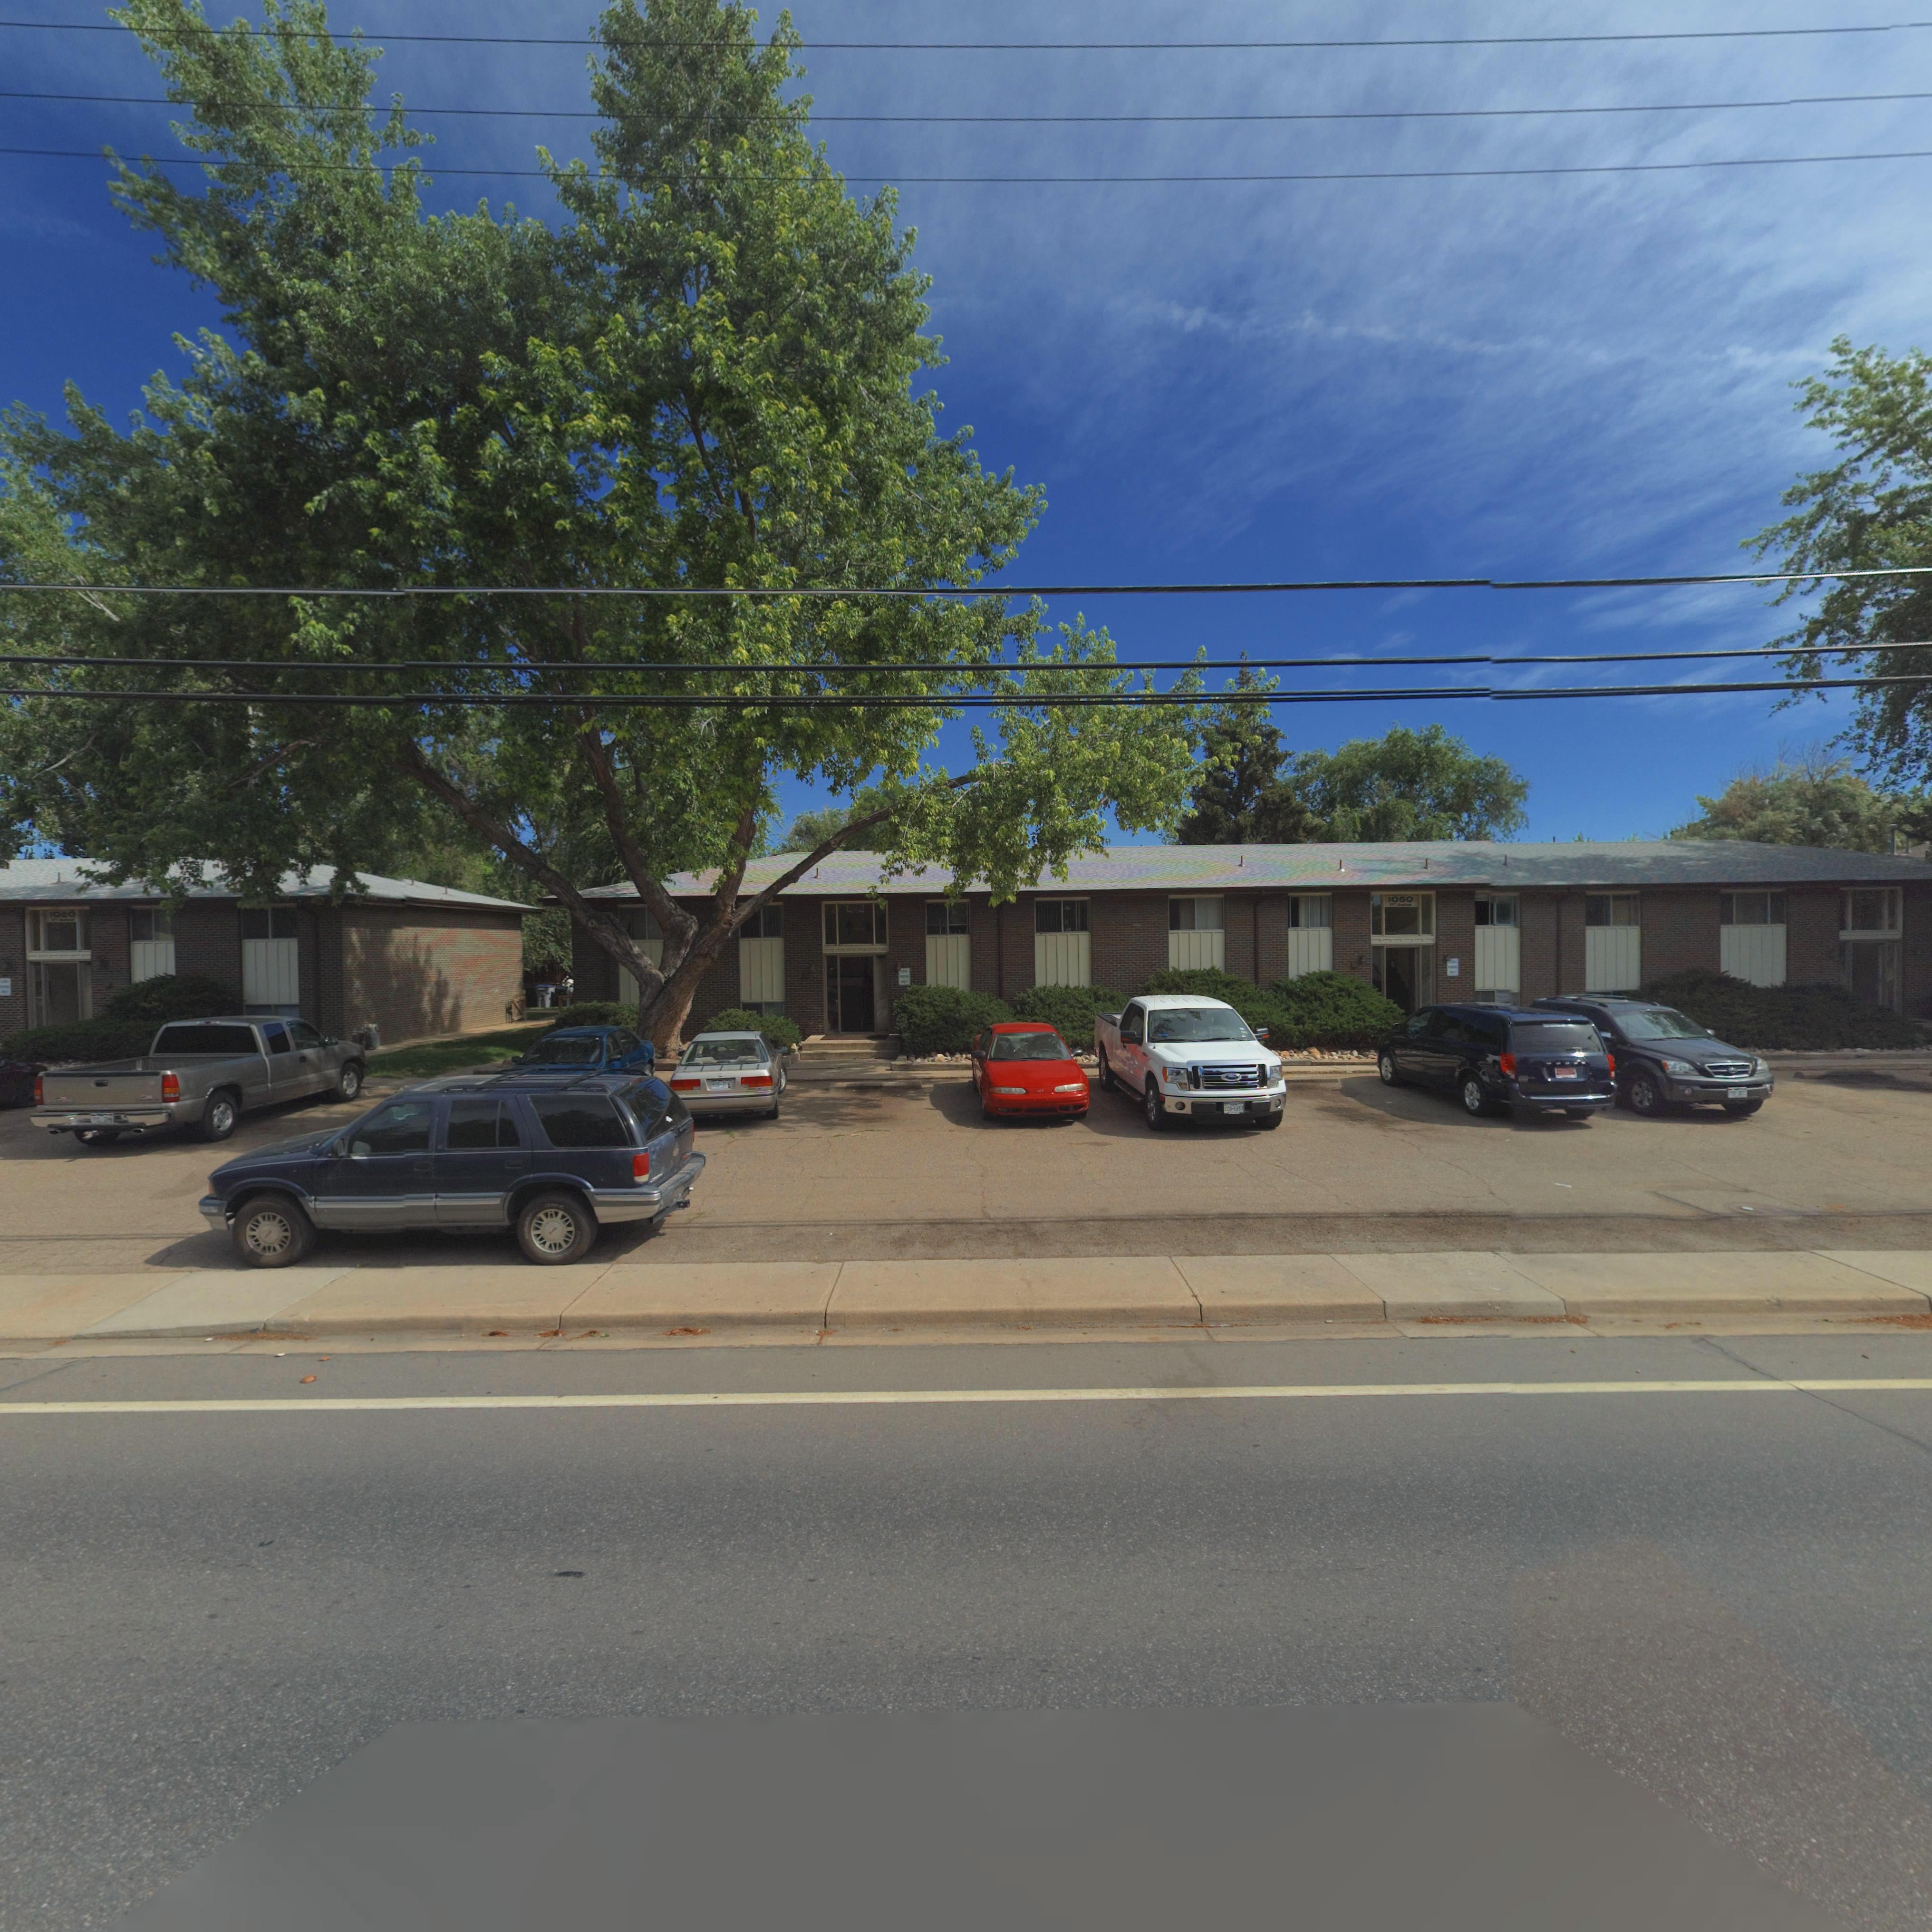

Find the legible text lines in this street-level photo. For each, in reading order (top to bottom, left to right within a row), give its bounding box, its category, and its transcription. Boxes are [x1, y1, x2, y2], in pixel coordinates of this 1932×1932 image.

[1387, 896, 1413, 902] StreetNumber: 1050
[1389, 902, 1411, 906] StreetName: 1*** A*****
[49, 910, 76, 918] StreetNumber: 10*0